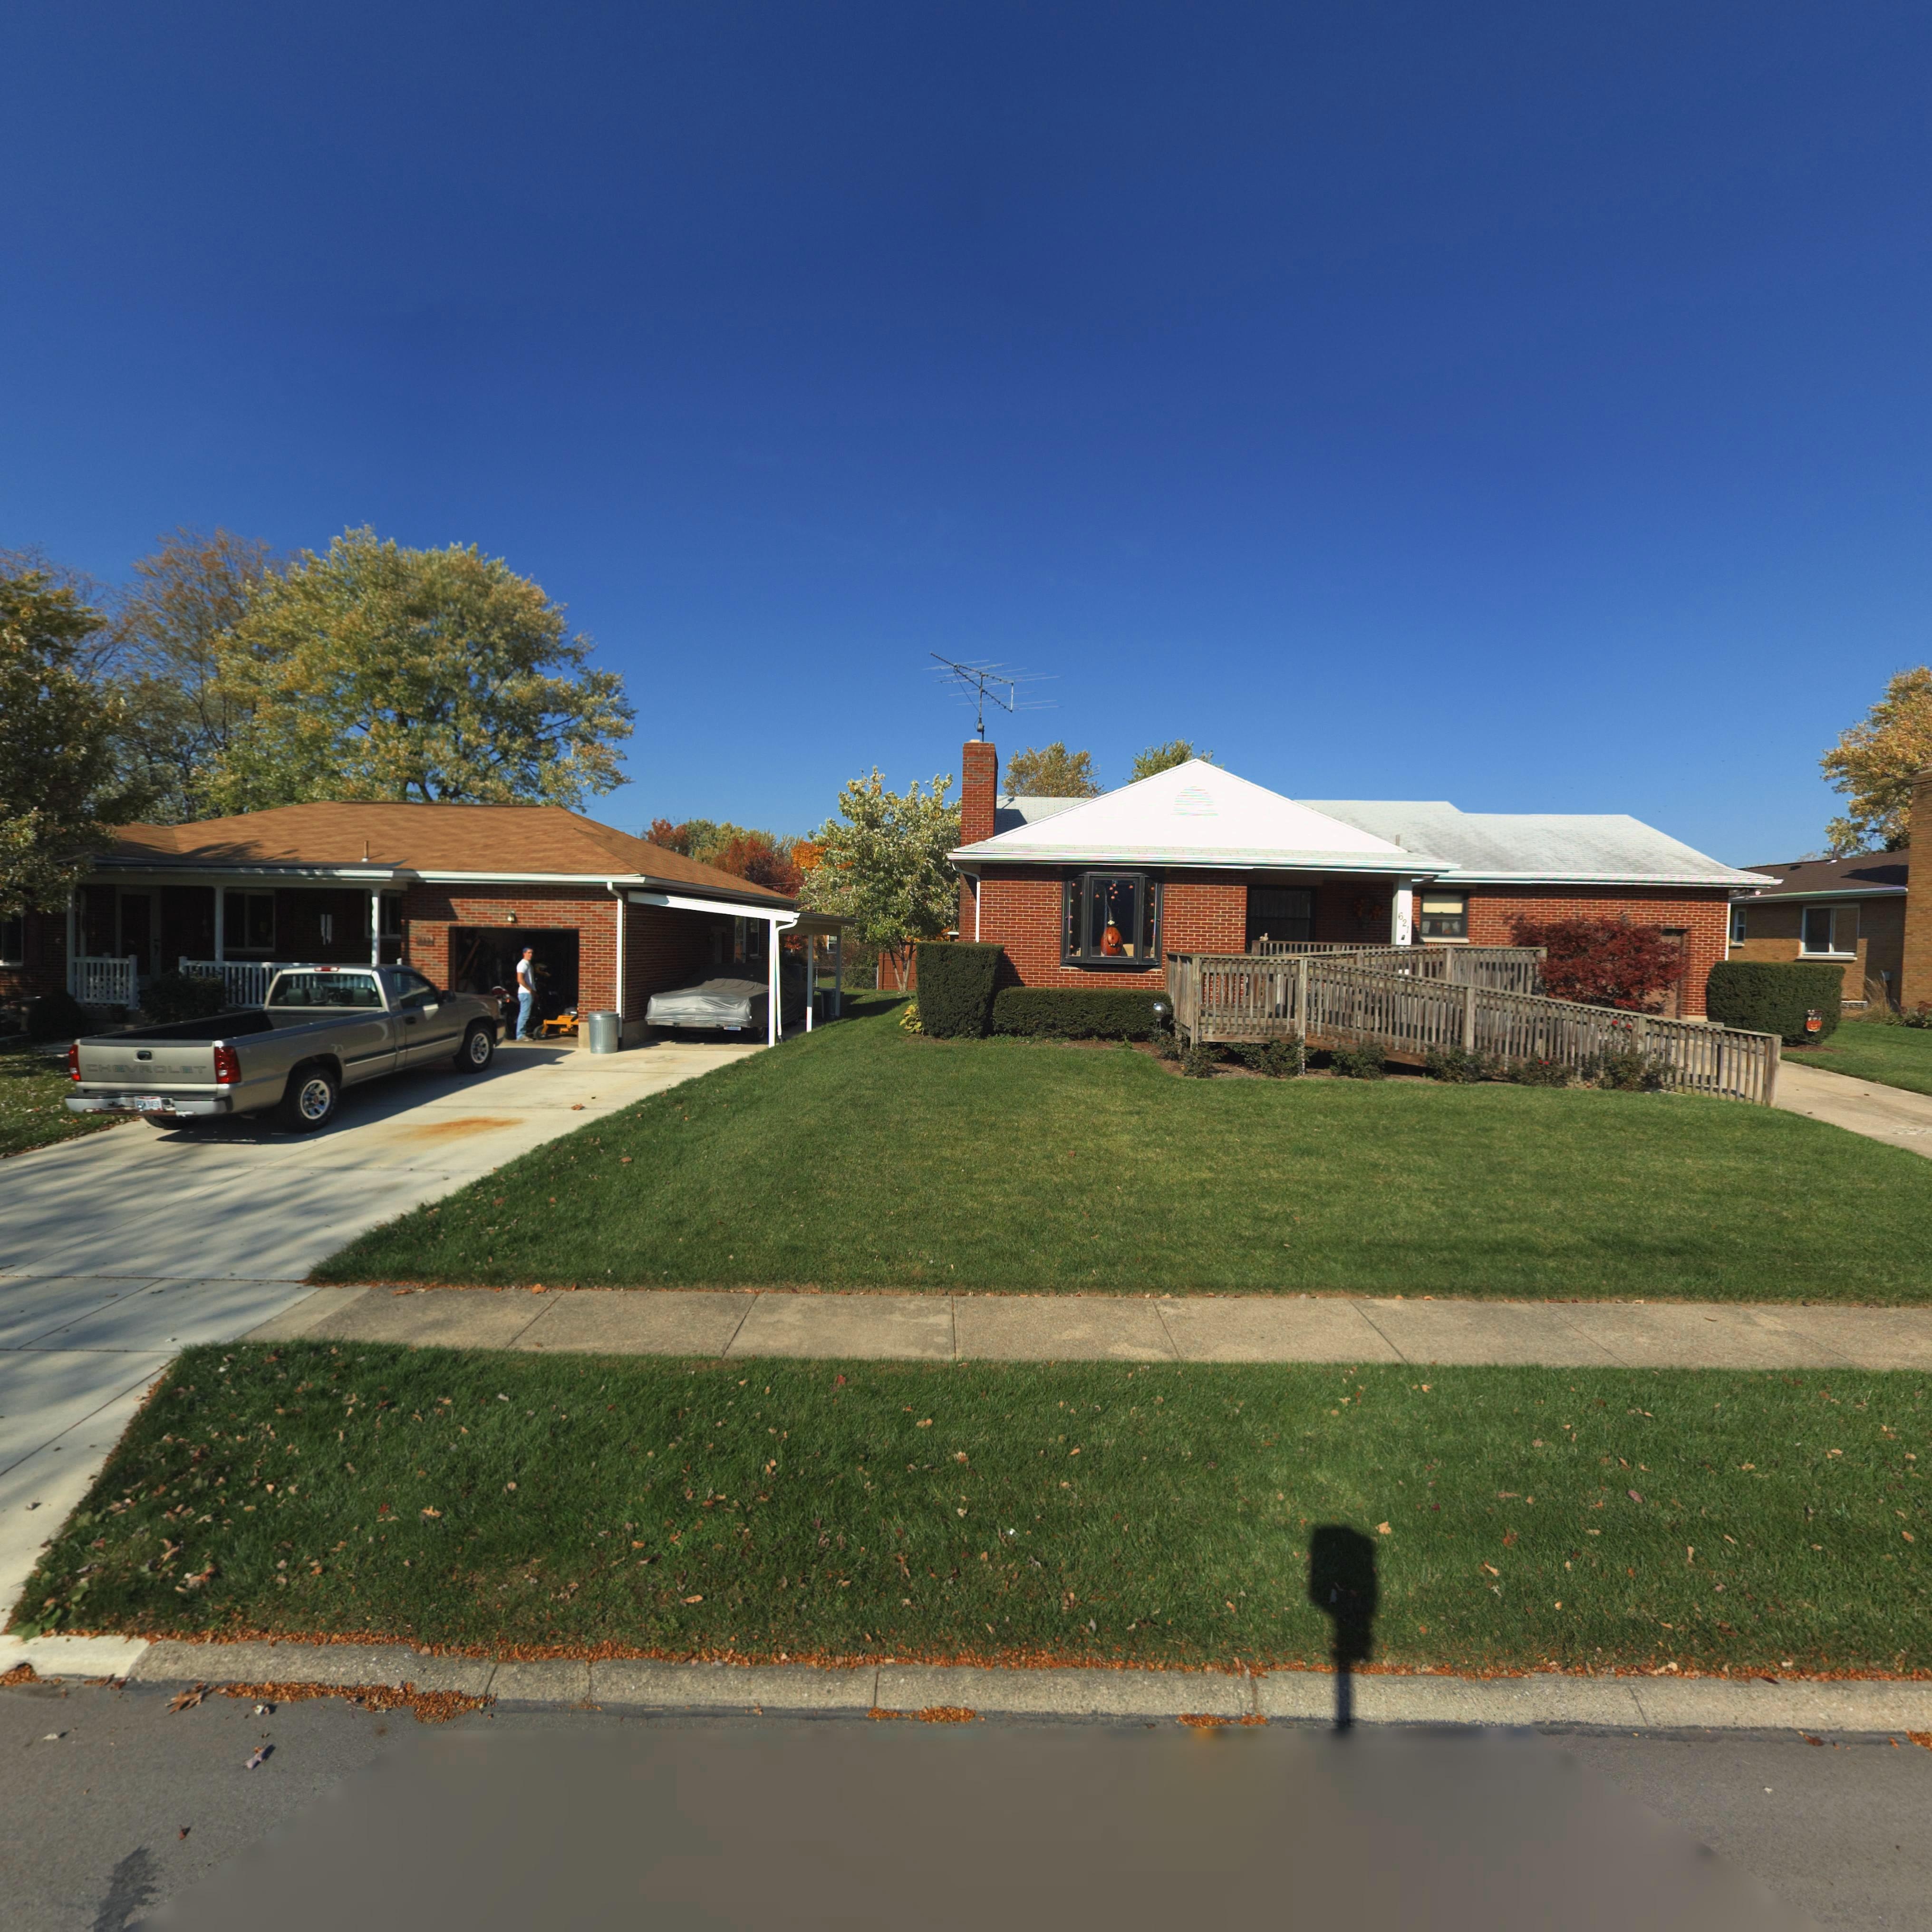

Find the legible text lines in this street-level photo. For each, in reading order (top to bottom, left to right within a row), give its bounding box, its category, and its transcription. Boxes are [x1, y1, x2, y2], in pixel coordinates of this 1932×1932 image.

[1397, 910, 1410, 935] StreetNumber: 621